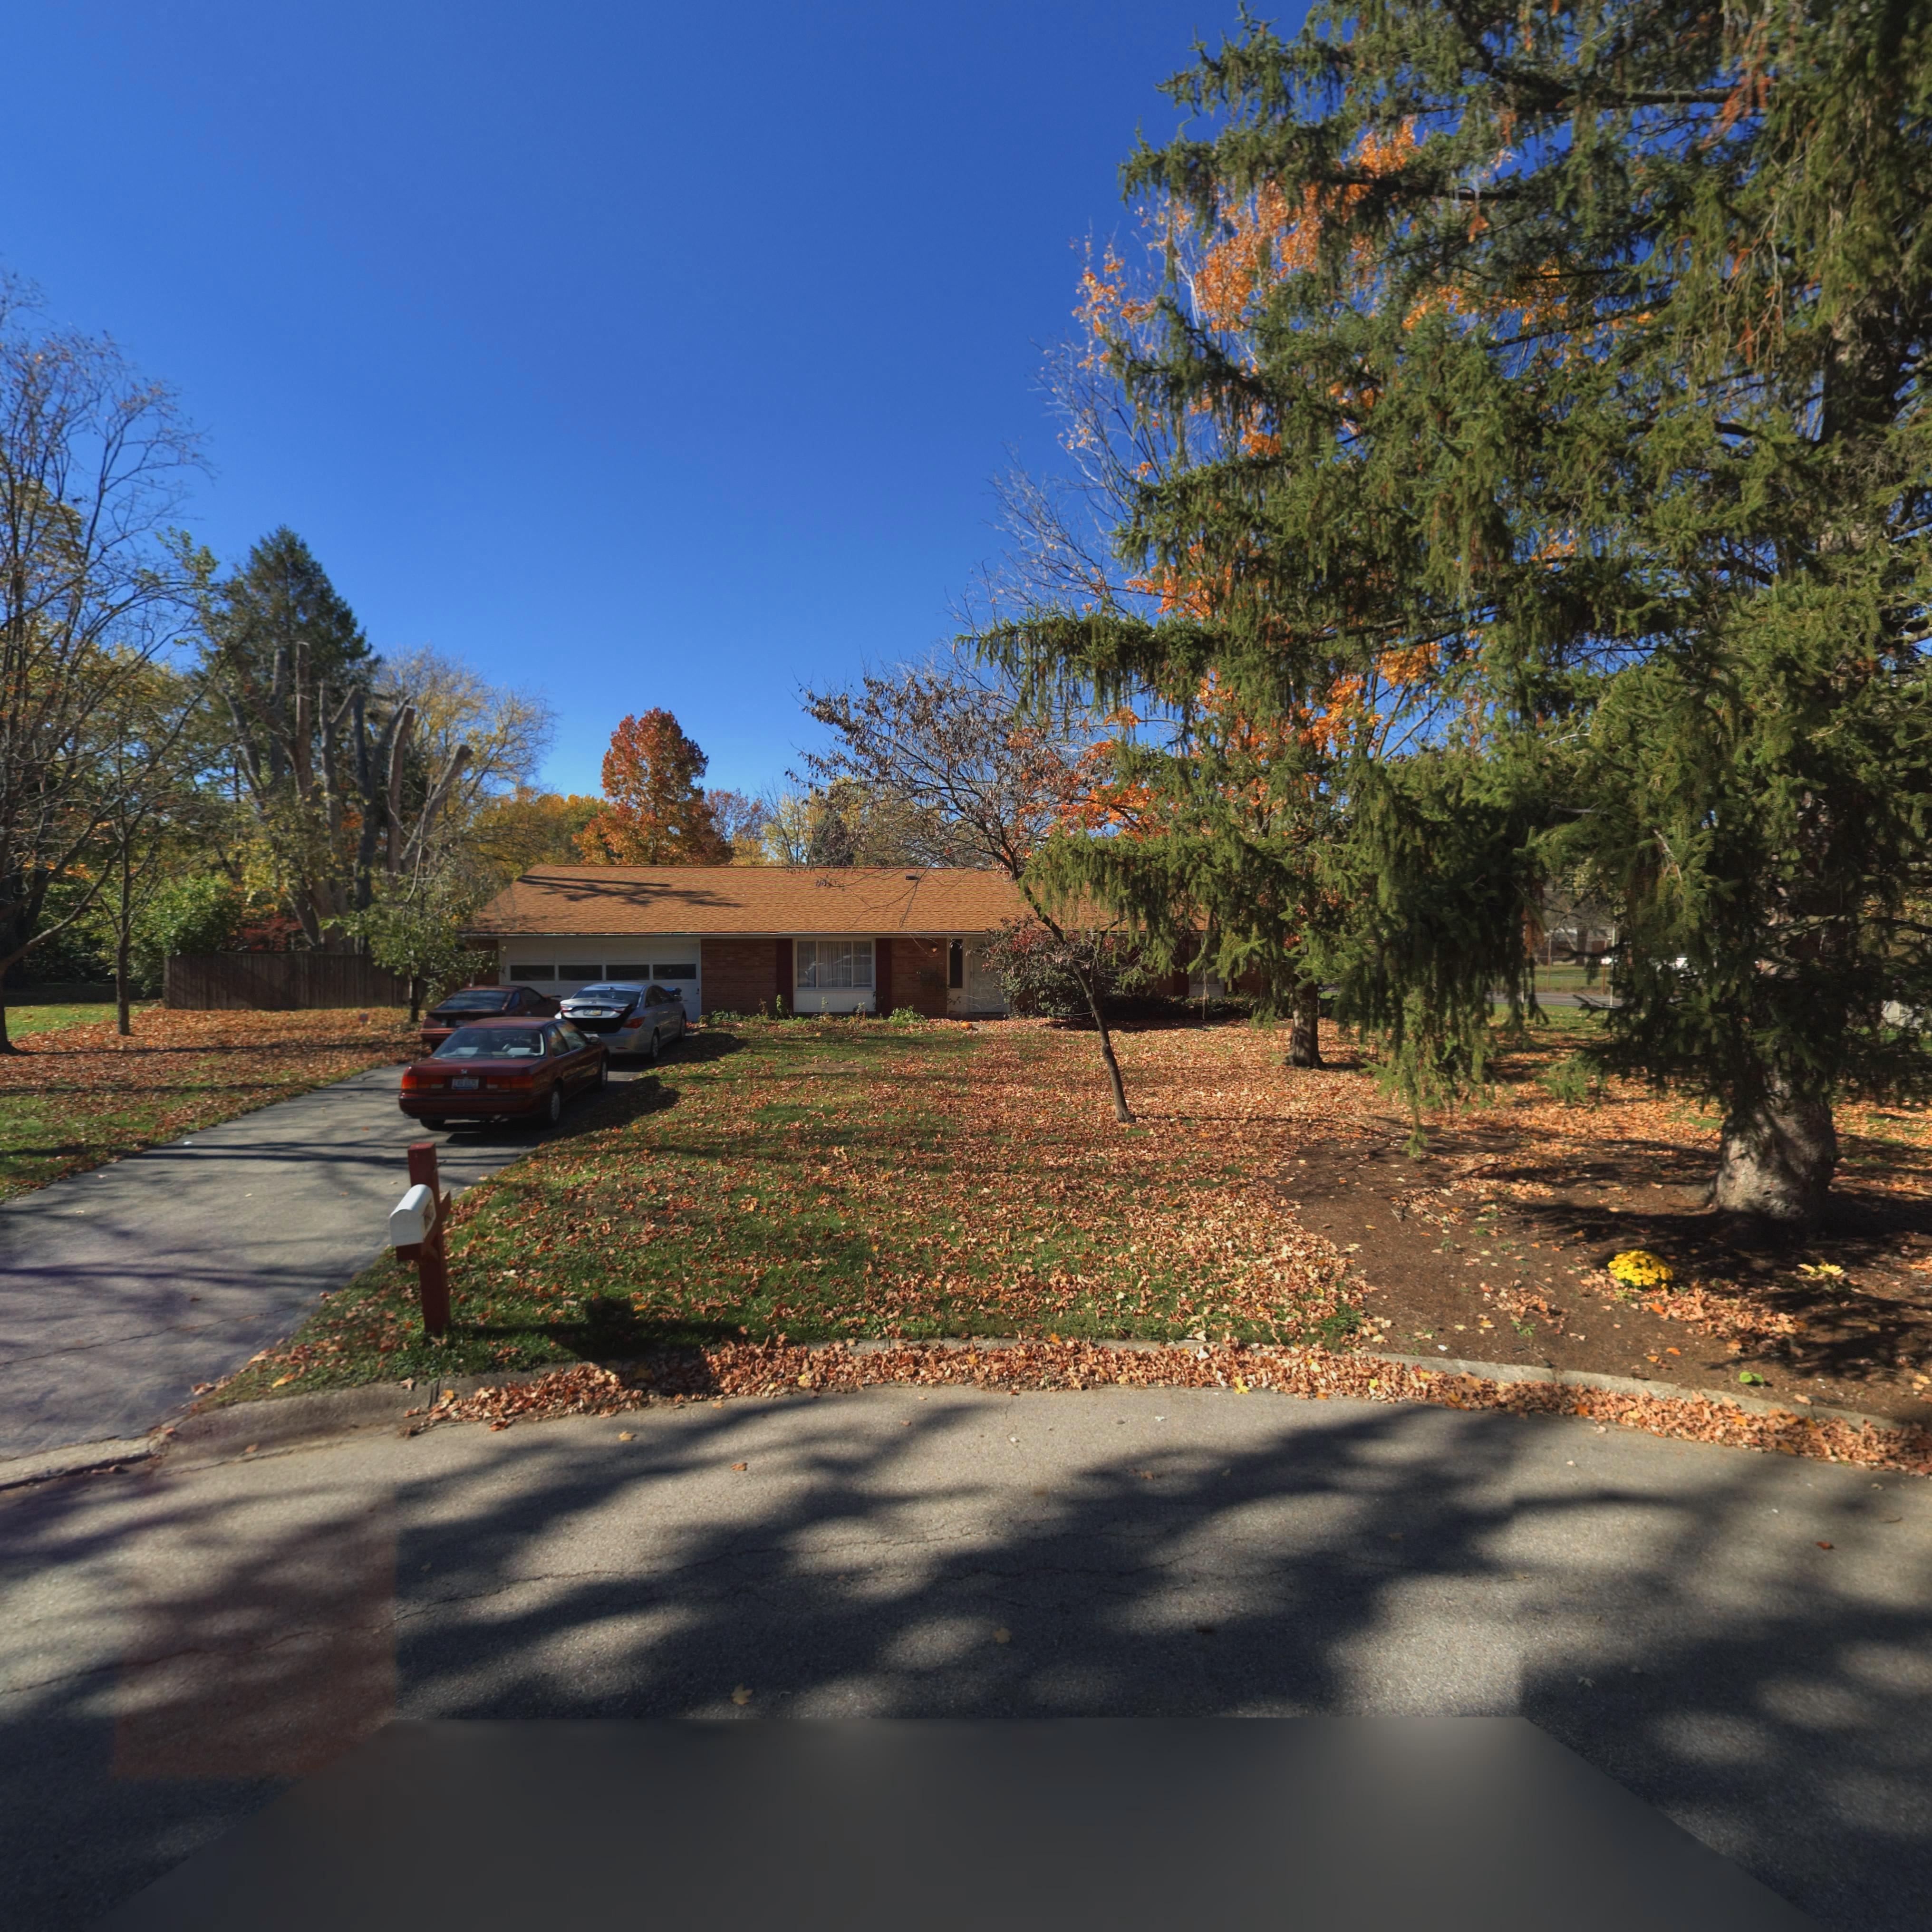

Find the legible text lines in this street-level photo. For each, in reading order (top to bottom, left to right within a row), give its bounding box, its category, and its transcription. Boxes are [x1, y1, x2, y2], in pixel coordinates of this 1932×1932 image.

[420, 1197, 435, 1233] StreetNumber: ***5